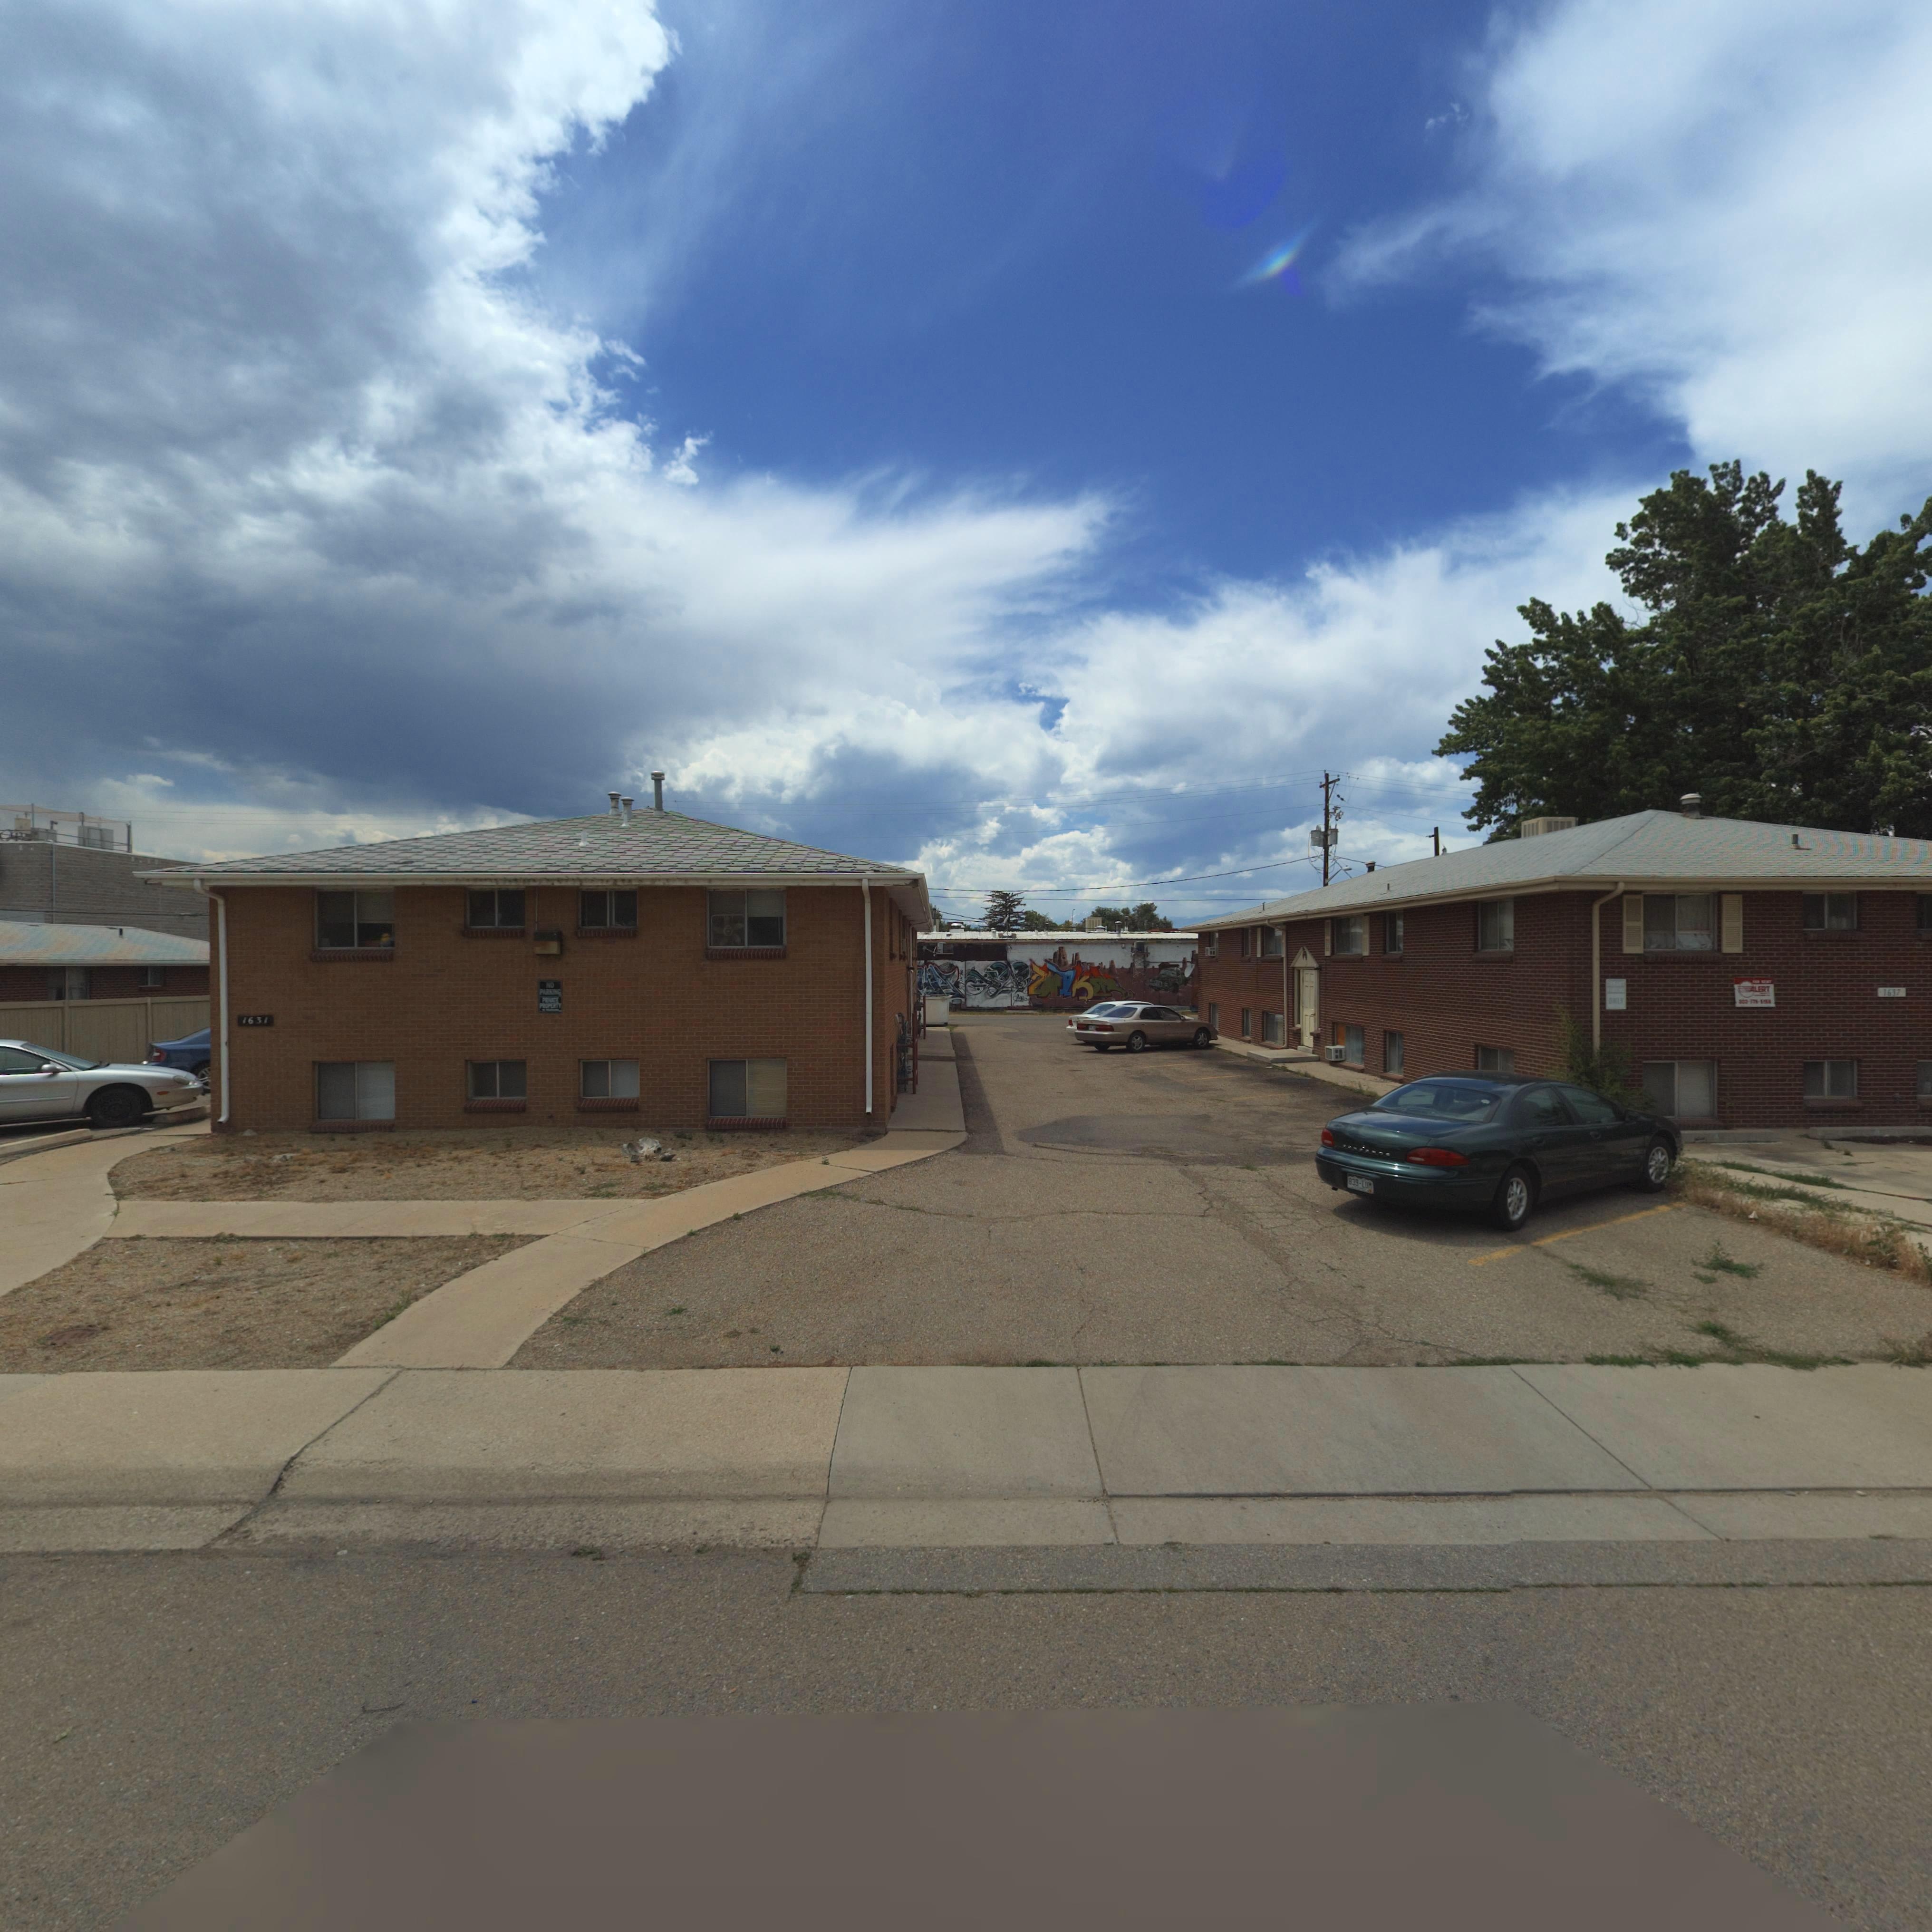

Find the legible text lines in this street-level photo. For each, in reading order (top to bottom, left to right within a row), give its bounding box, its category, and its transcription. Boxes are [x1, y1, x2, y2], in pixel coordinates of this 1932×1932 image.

[1883, 988, 1902, 996] StreetNumber: 16**
[241, 1016, 269, 1024] StreetNumber: 1631